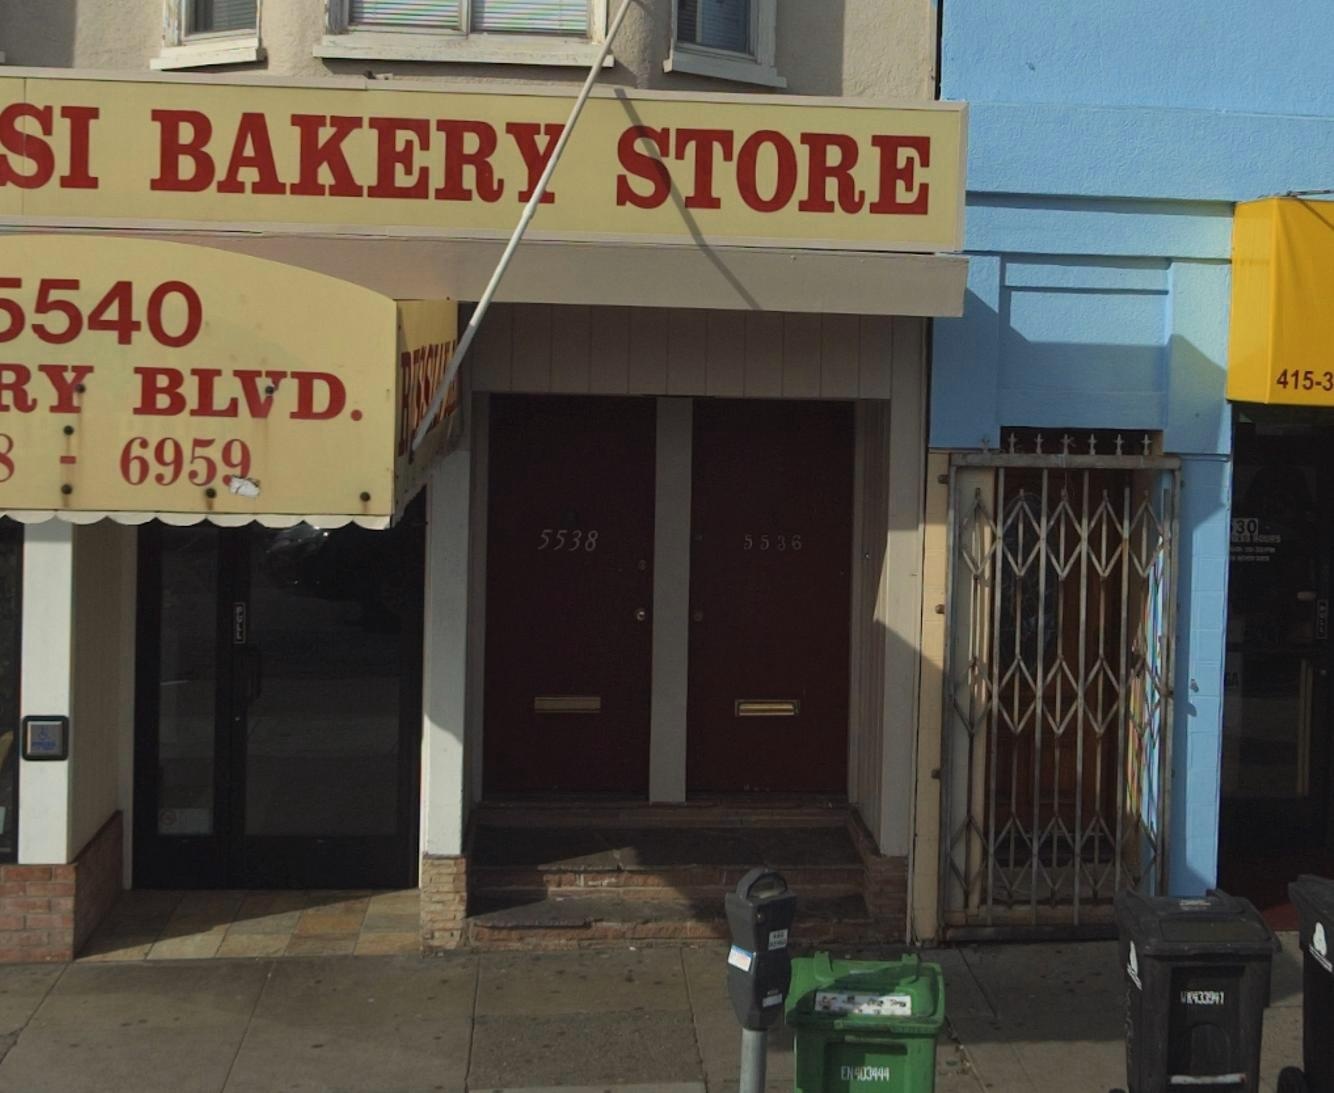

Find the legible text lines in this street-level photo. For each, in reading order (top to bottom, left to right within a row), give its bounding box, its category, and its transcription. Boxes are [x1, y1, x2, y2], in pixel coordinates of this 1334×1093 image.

[57, 103, 933, 218] BusinessName: I BAKER* STORE
[26, 274, 205, 351] StreetNumber: 540
[34, 361, 350, 422] StreetName: Y BLVD
[1275, 365, 1333, 392] None: 415-3
[117, 433, 254, 491] None: 695*
[534, 527, 600, 553] StreetNumber: 5538
[741, 533, 804, 552] StreetNumber: 5536
[1234, 518, 1258, 536] StreetNumber: 30
[1198, 989, 1227, 1006] None: 33*41
[839, 1063, 893, 1083] None: EN403444